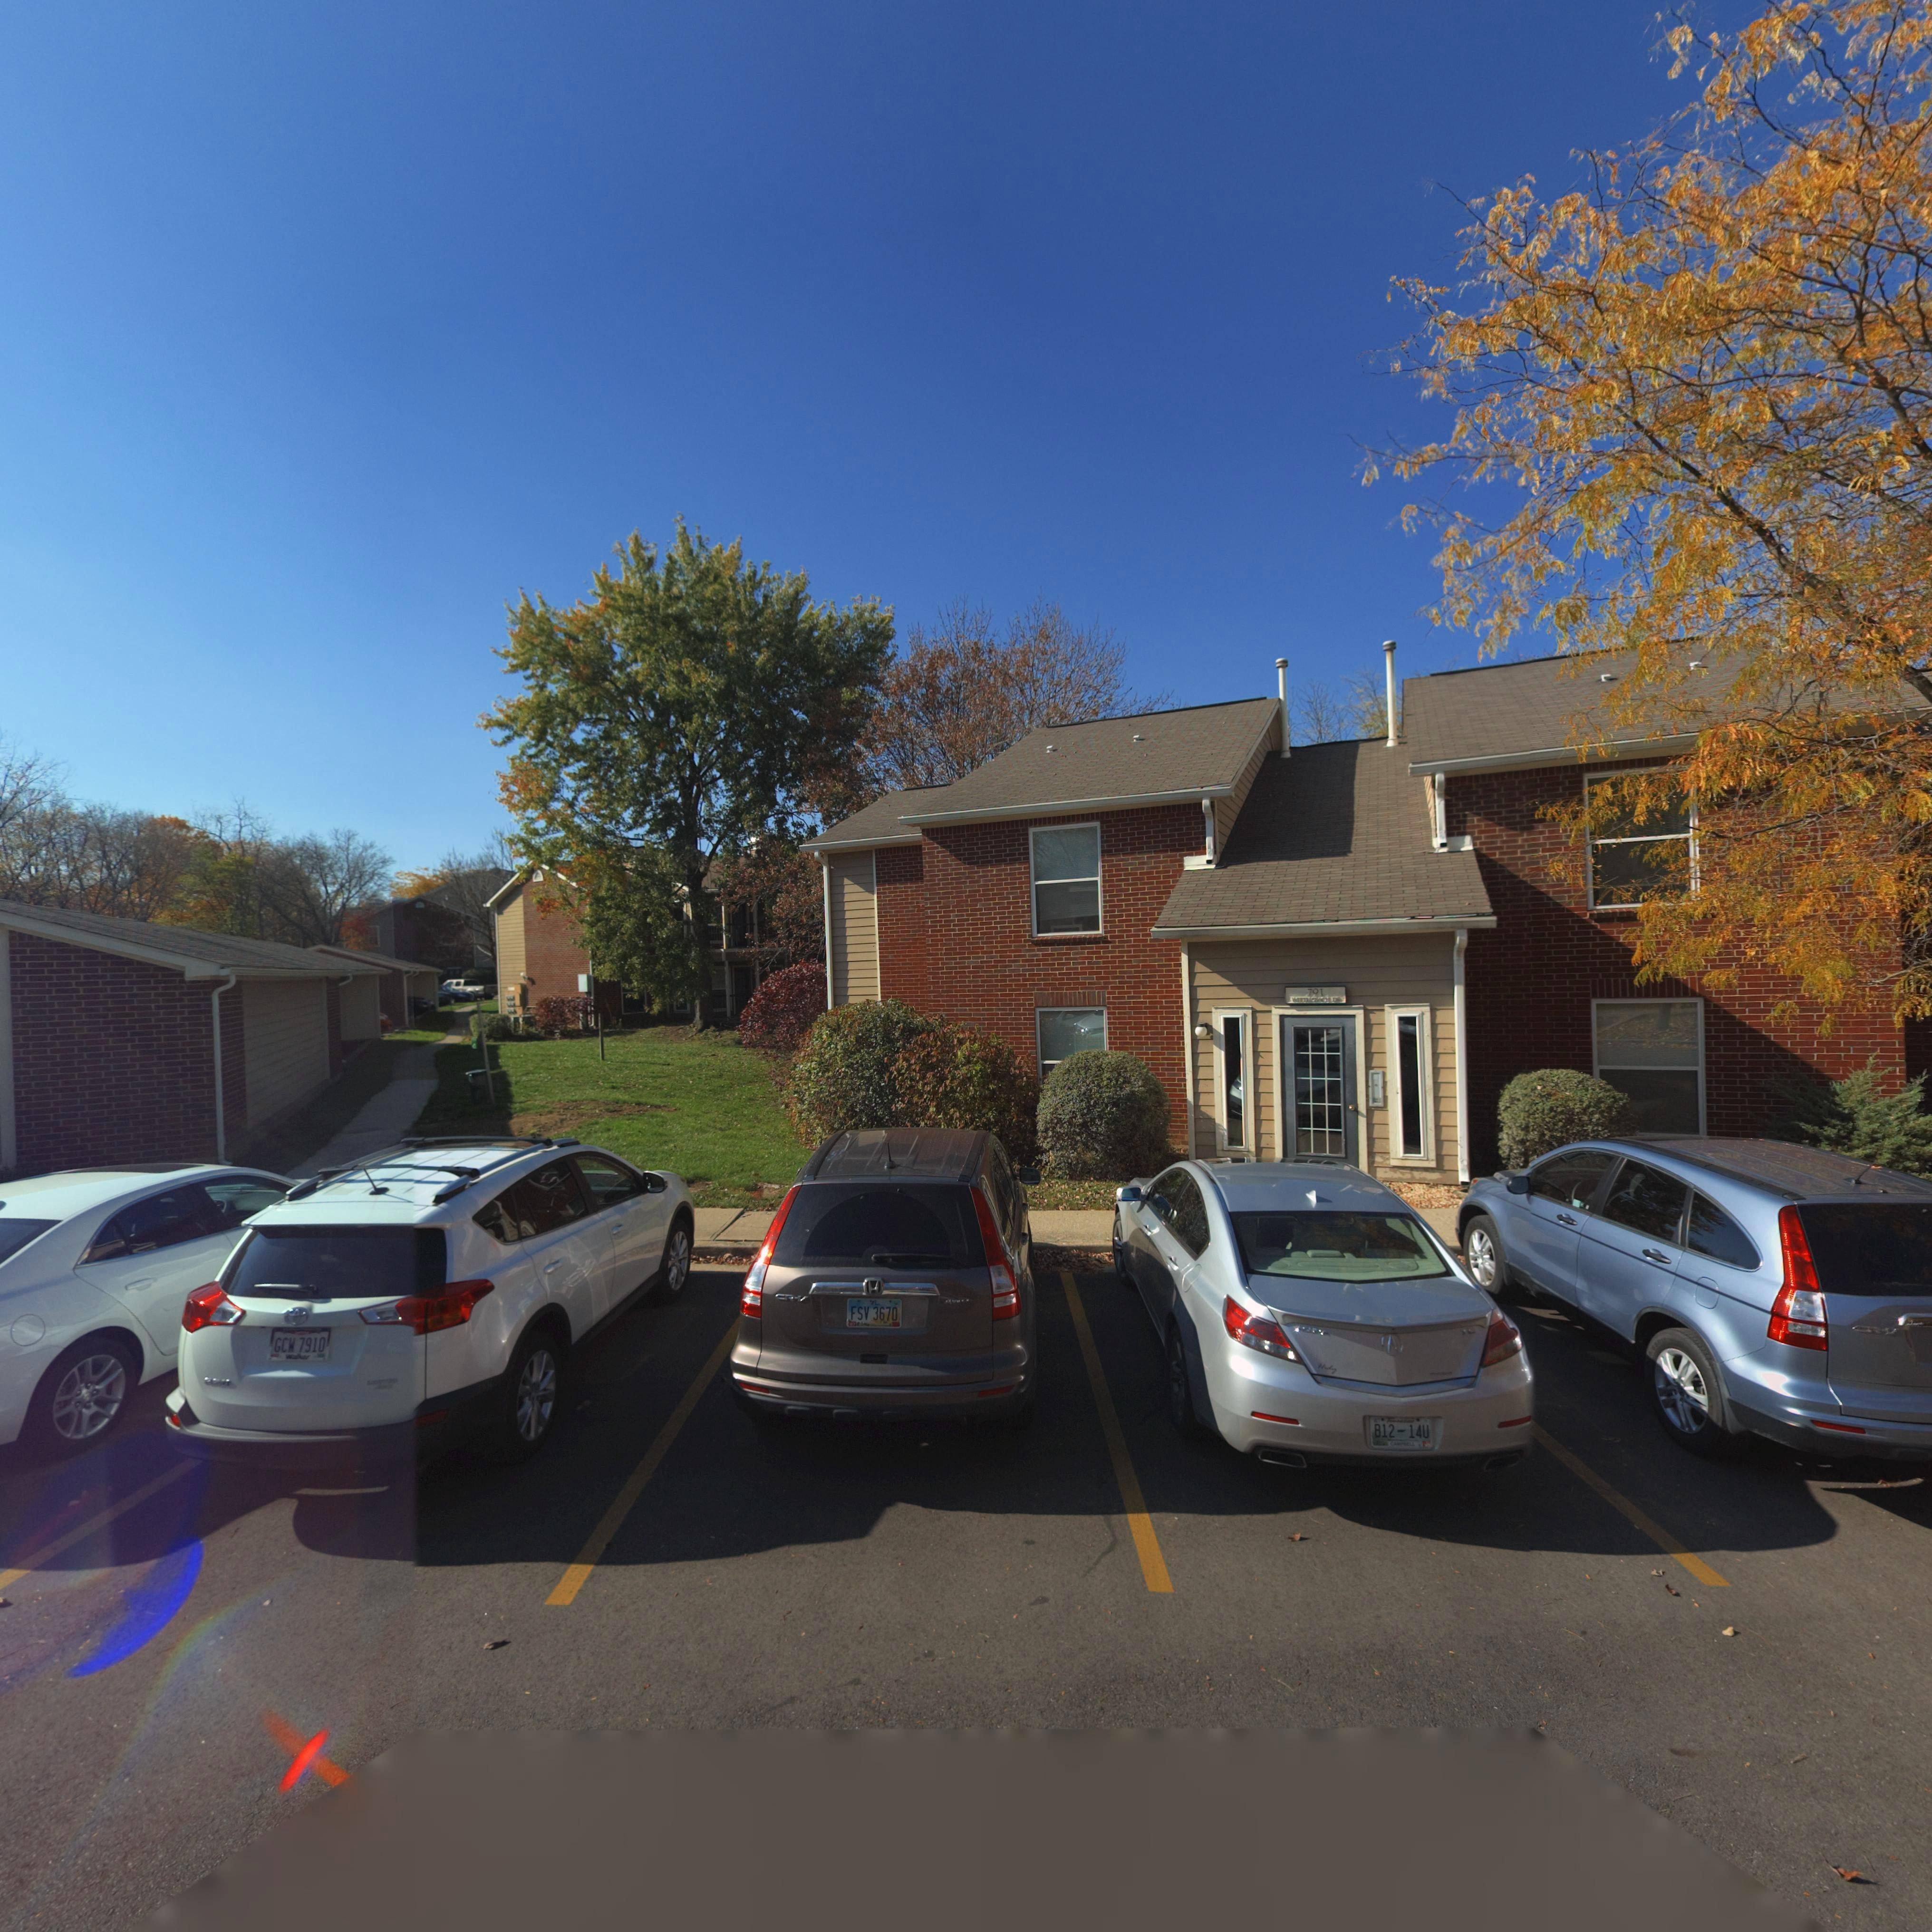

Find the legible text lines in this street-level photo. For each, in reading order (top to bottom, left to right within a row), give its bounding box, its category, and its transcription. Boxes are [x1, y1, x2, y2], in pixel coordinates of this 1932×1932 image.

[1305, 987, 1325, 998] StreetNumber: 791
[773, 1291, 810, 1304] None: CR-V
[850, 1304, 899, 1323] None: FSV 3670
[1850, 1322, 1903, 1338] None: CR-V
[272, 1334, 328, 1355] None: GCW 7910
[1372, 1421, 1431, 1440] None: B12-14U